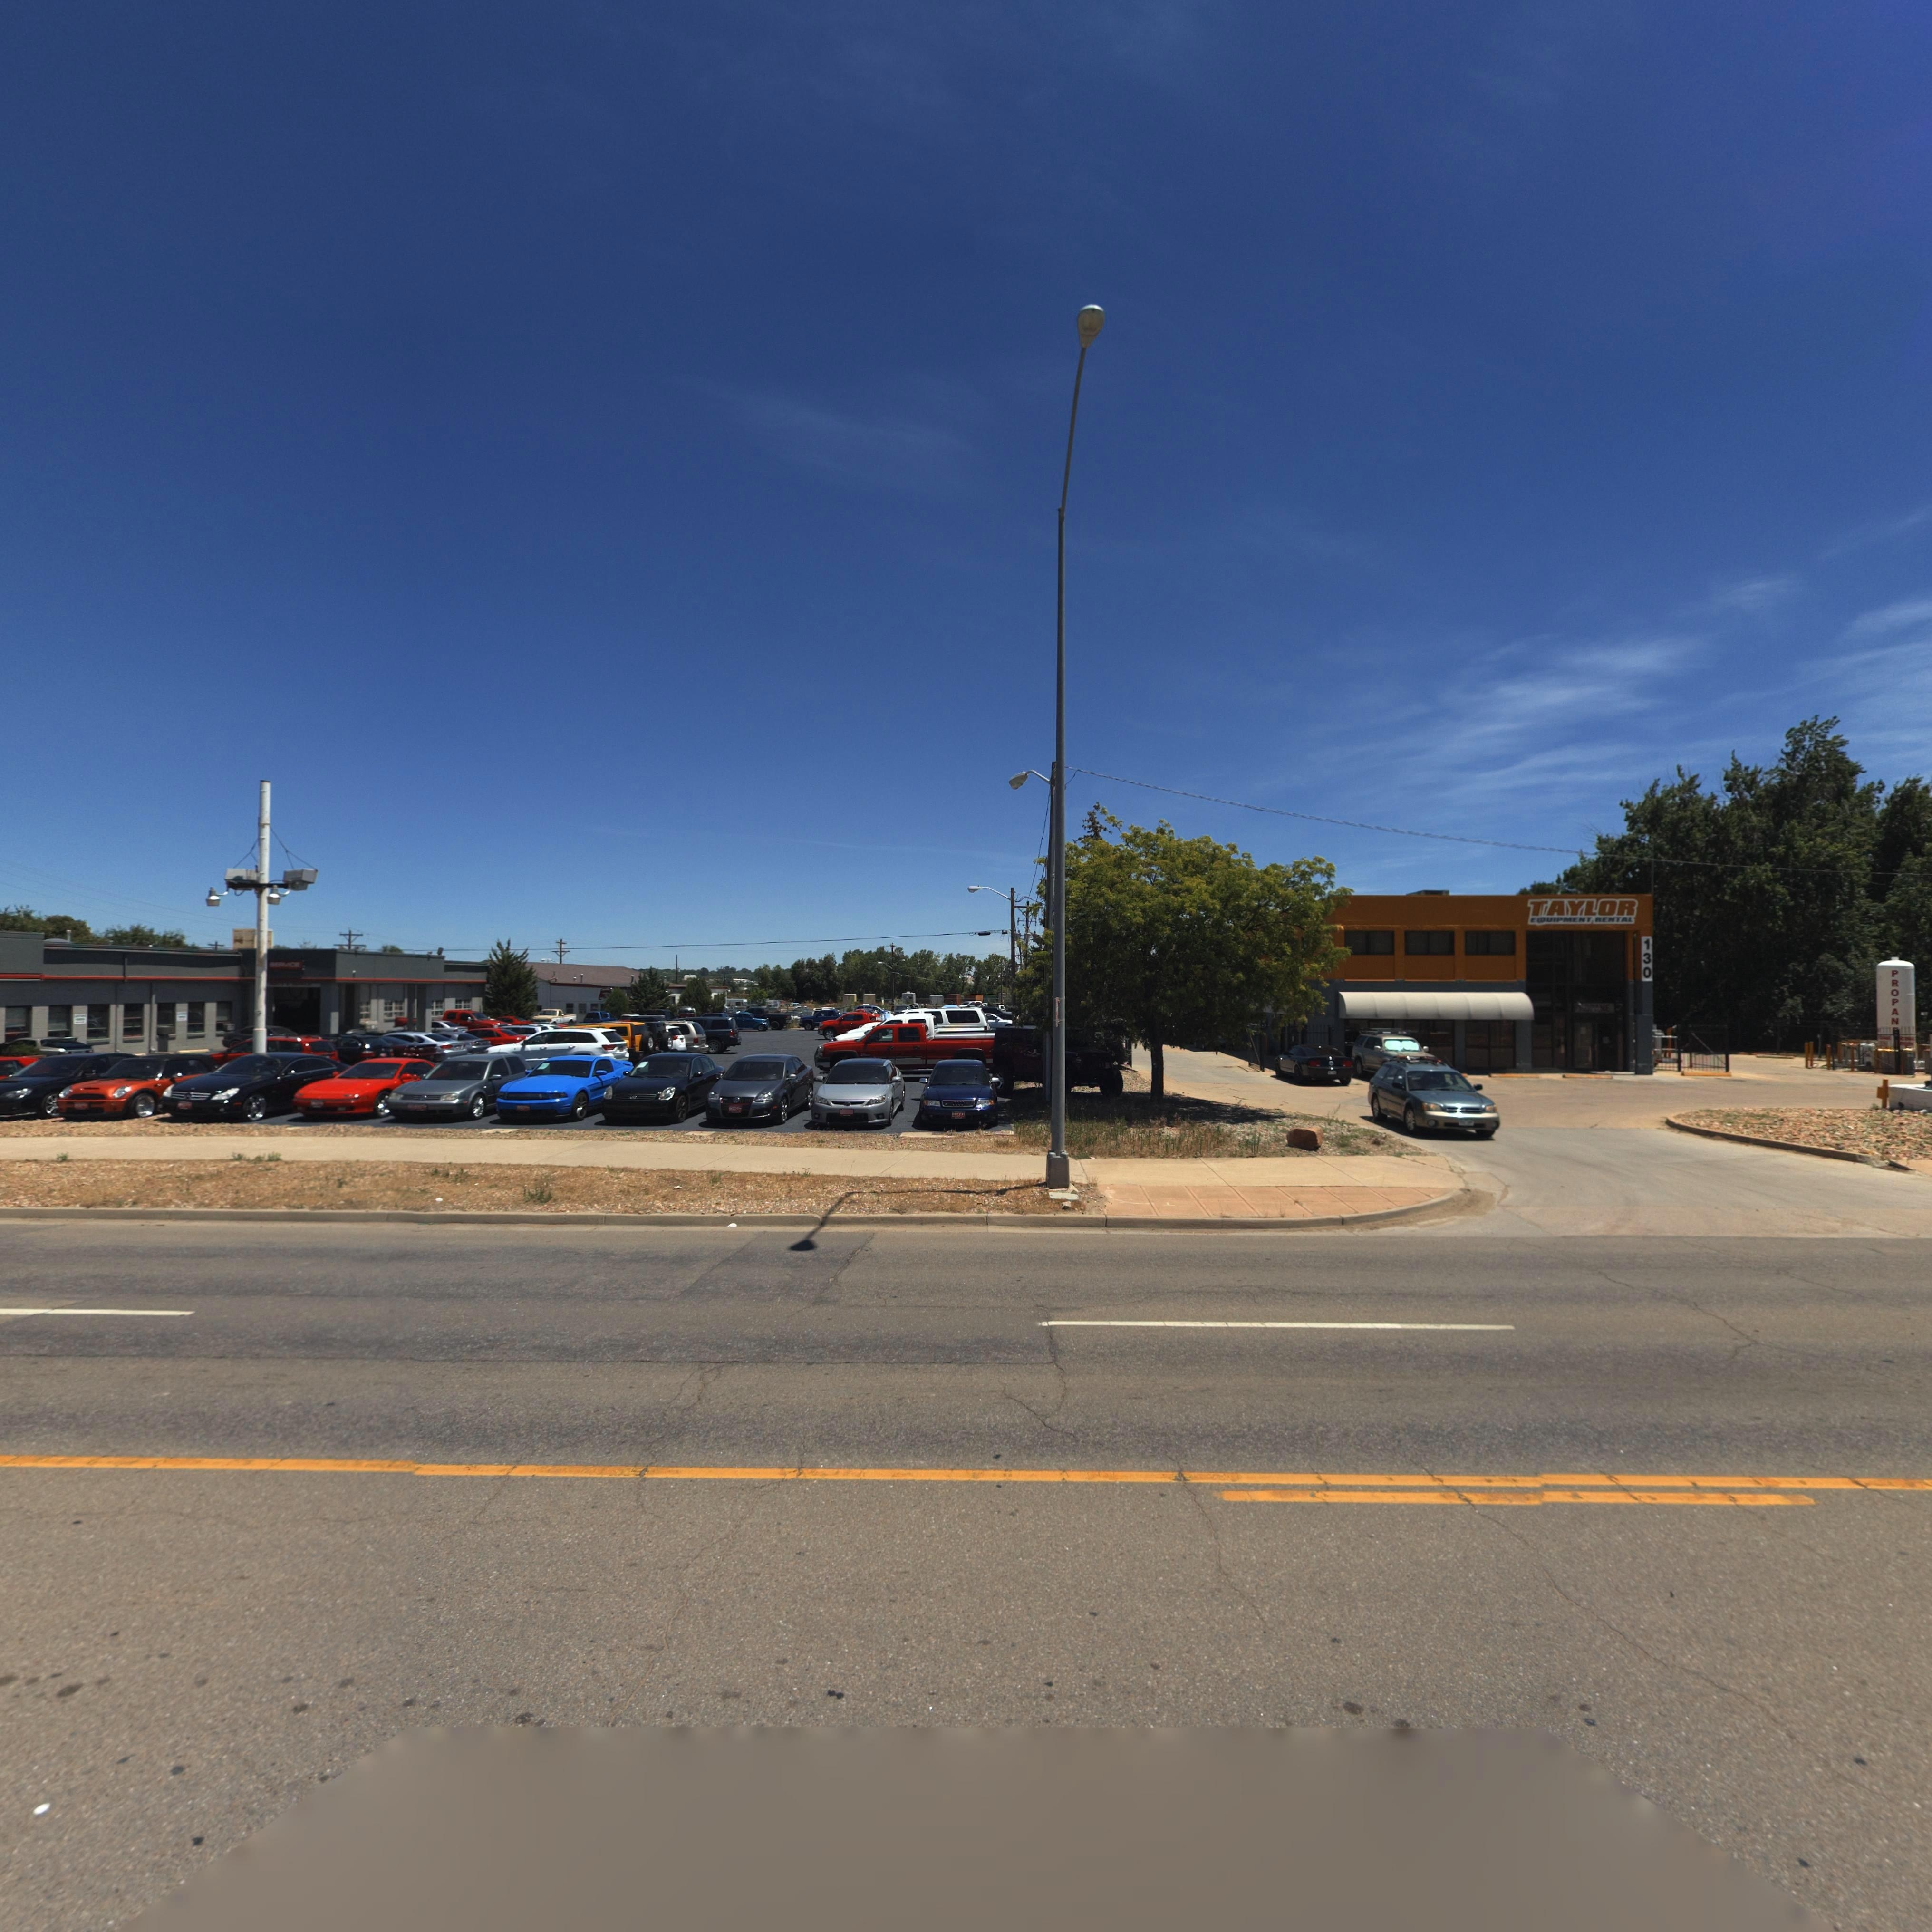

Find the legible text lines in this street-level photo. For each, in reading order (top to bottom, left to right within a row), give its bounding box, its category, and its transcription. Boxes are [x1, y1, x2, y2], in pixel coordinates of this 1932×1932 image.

[1528, 898, 1636, 917] BusinessName: TAYLOR
[1529, 916, 1633, 924] BusinessName: E*QUIPMENT RENTAL*
[1642, 937, 1652, 979] StreetNumber: 130